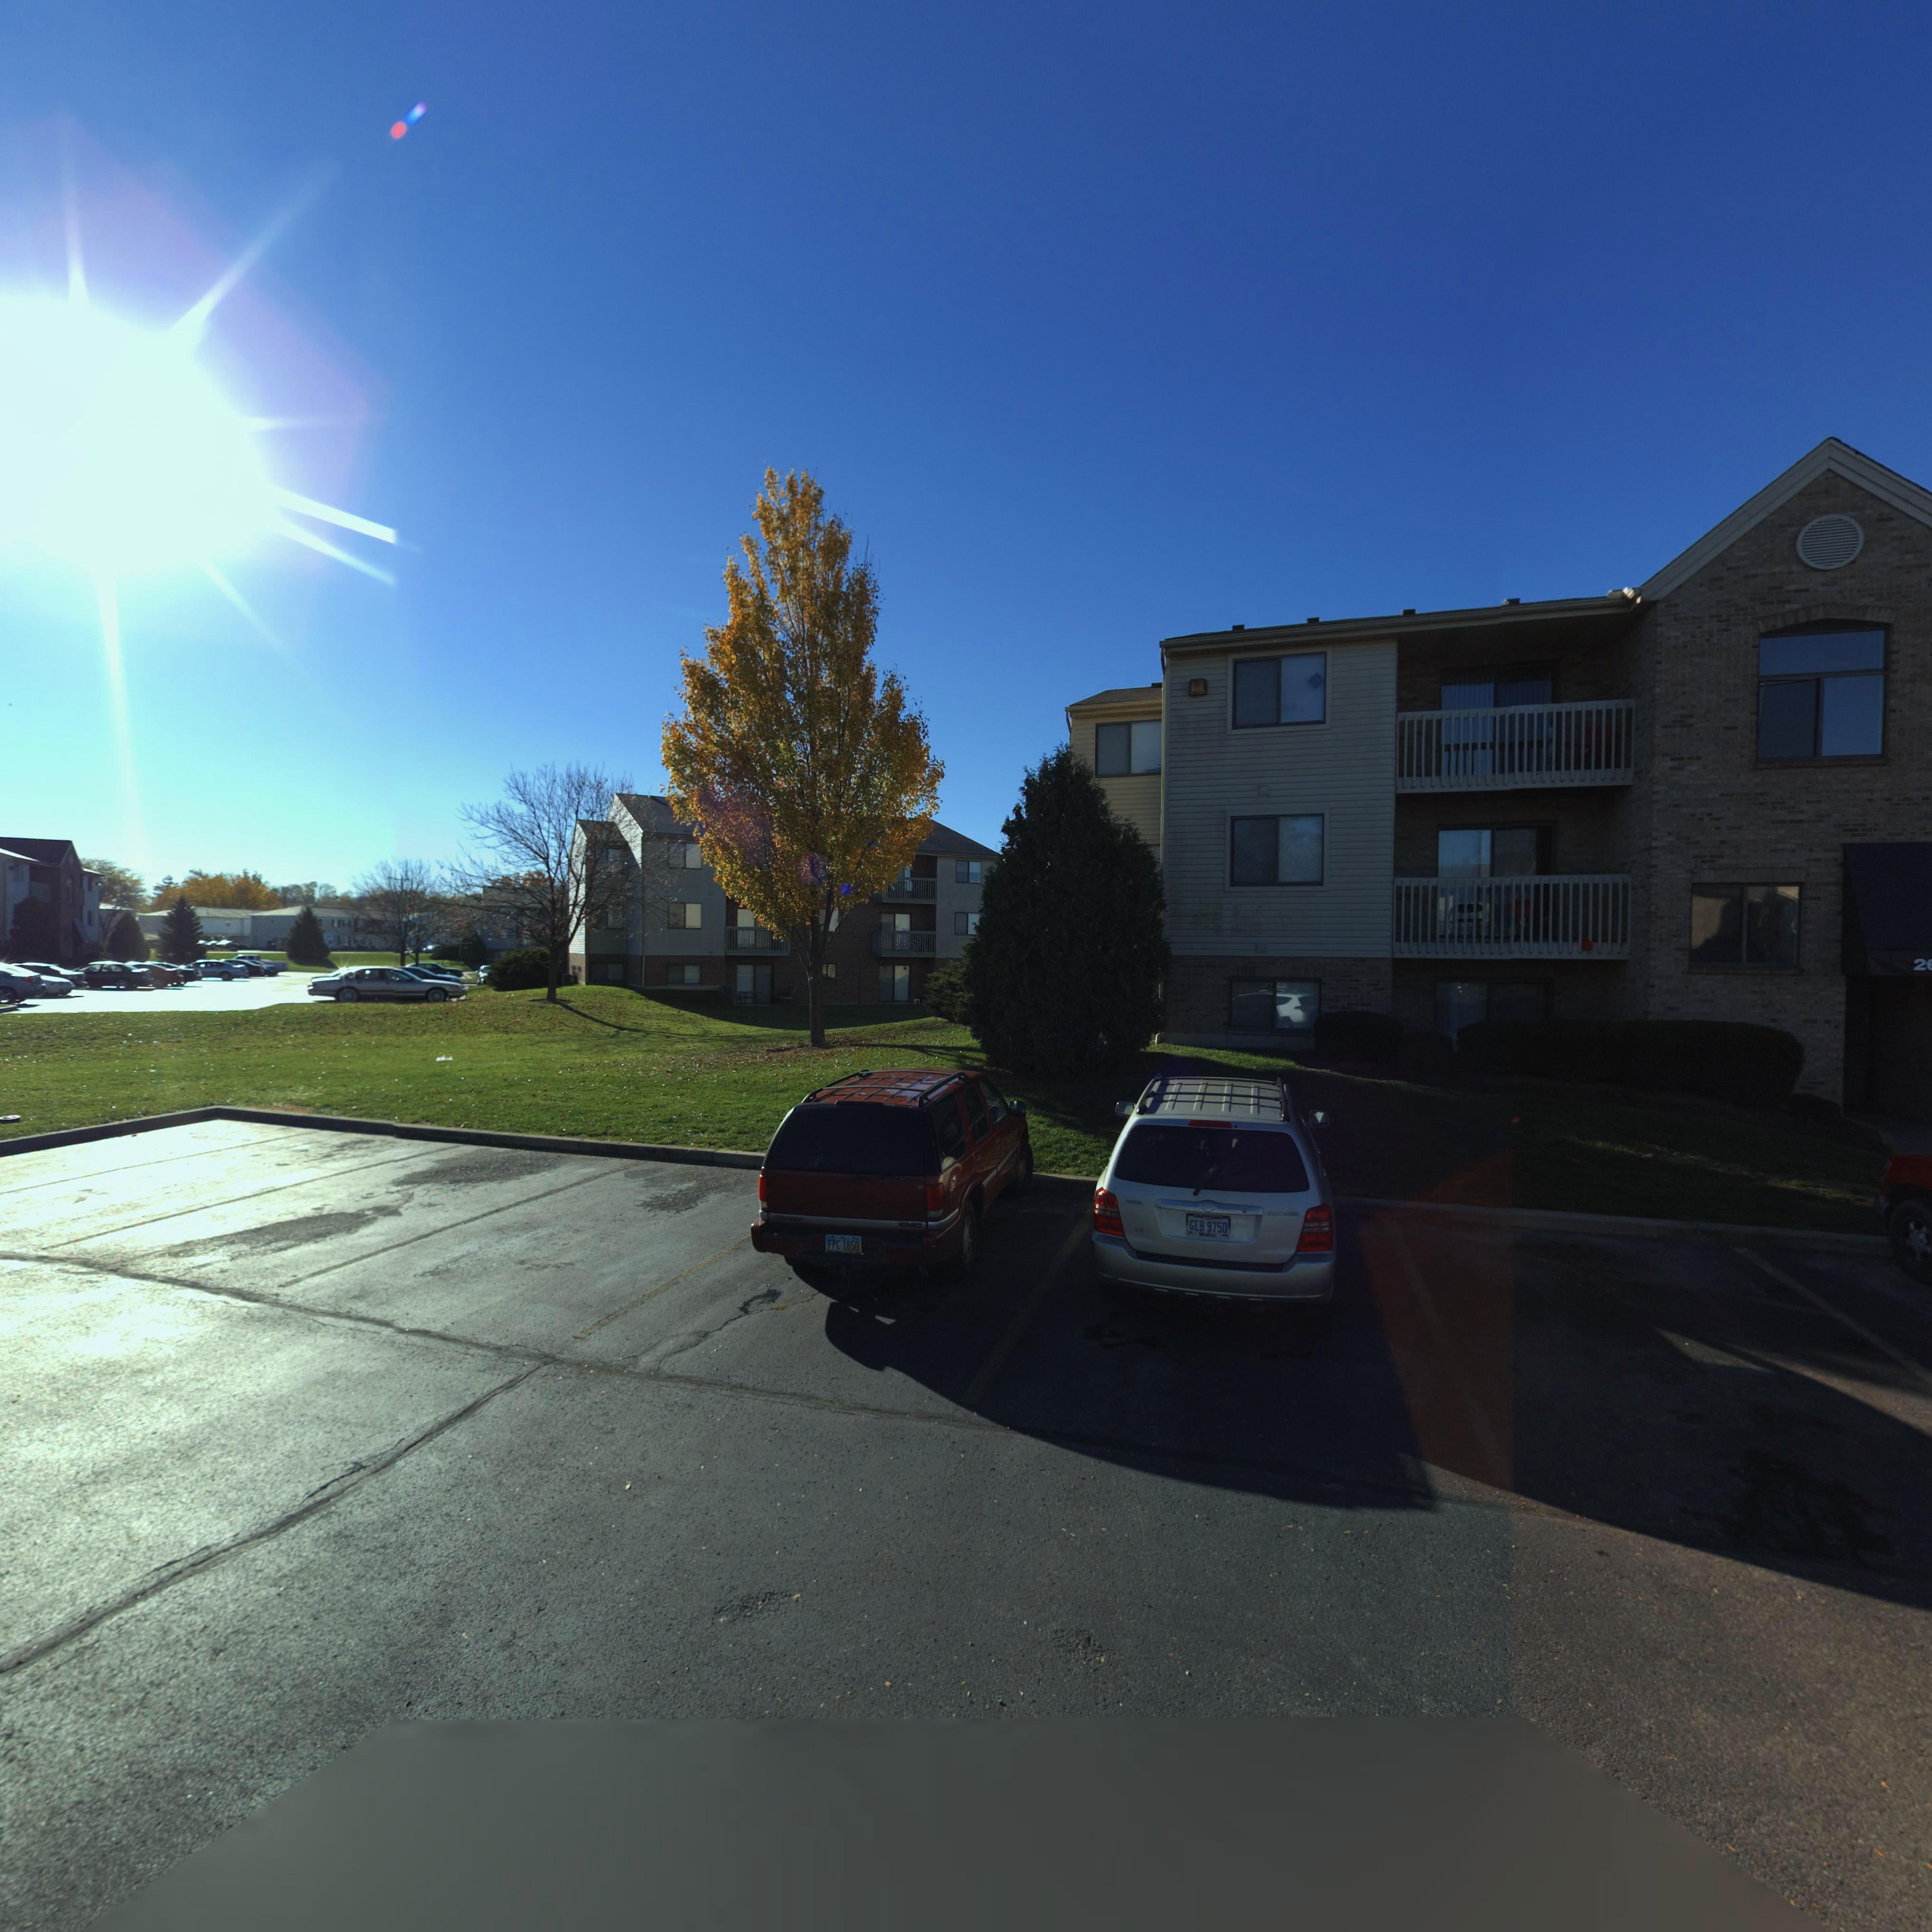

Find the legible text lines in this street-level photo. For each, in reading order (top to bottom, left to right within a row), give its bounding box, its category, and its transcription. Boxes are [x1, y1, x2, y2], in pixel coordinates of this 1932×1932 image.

[1913, 957, 1927, 972] StreetNumber: 2